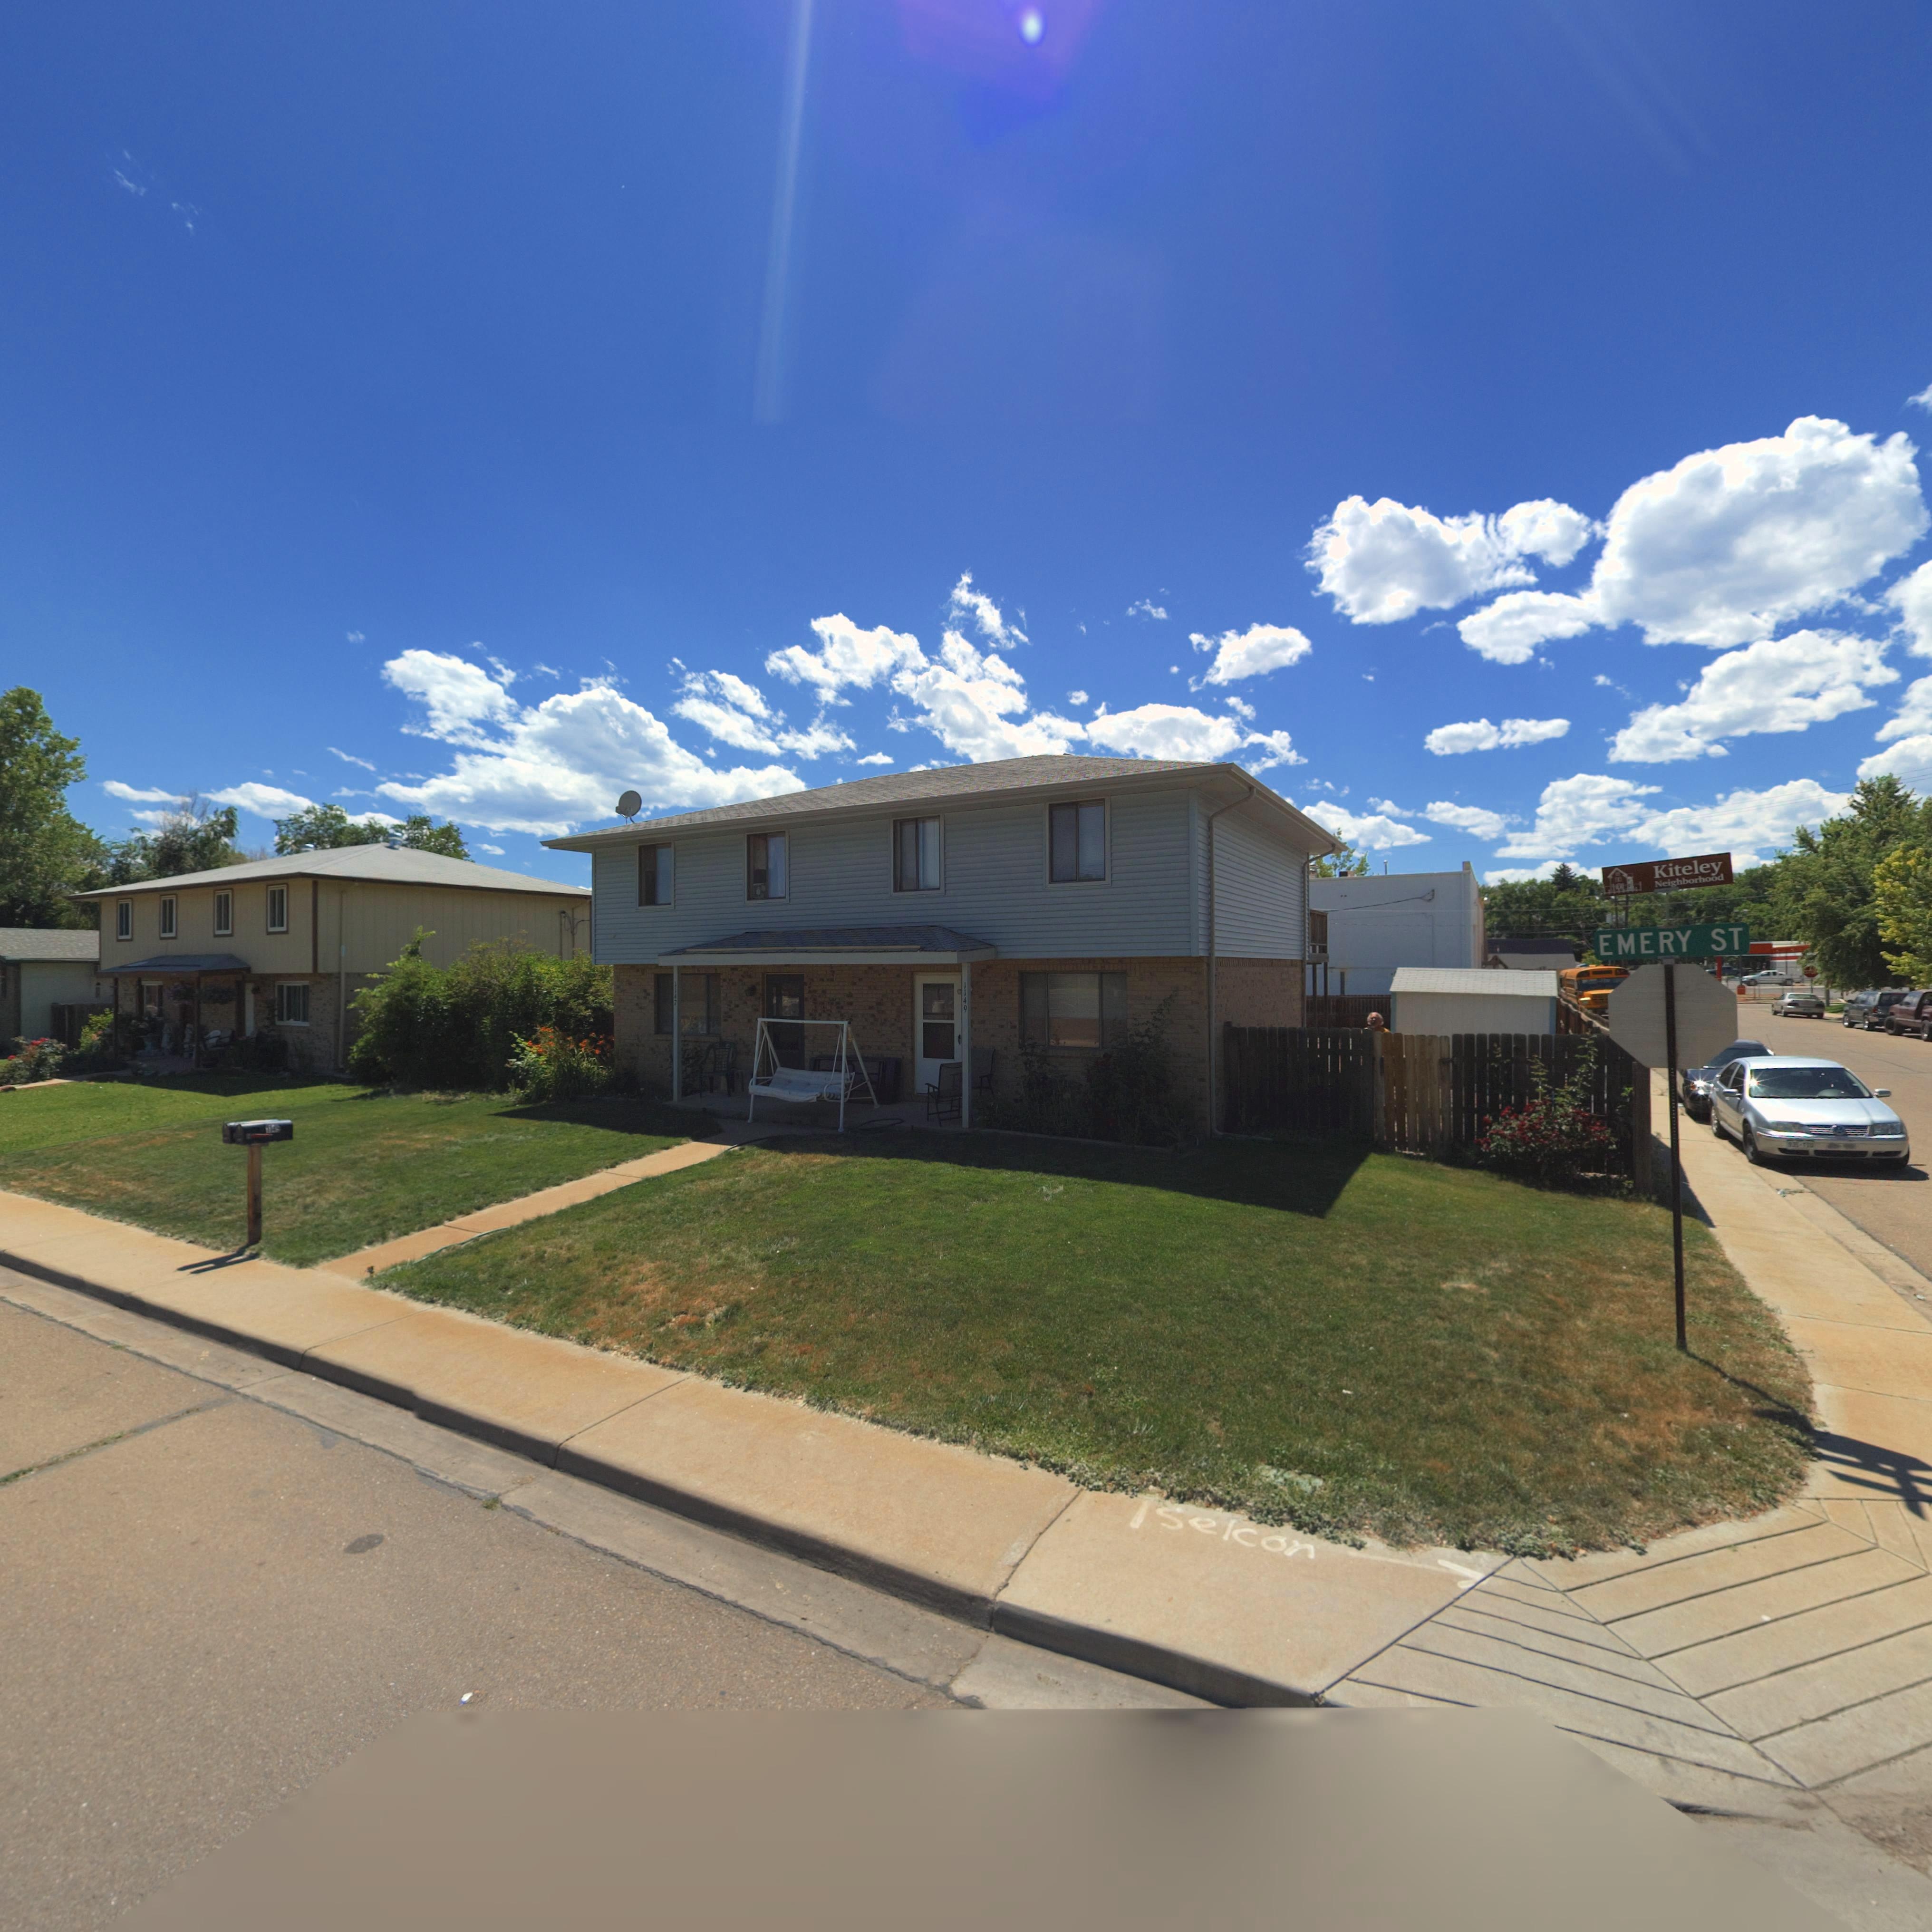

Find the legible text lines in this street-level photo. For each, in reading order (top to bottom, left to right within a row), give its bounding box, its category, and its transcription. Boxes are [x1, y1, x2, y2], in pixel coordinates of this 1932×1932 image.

[1598, 927, 1743, 956] StreetName: EMERY ST
[673, 980, 677, 1006] StreetNumber: 1147
[962, 982, 967, 1013] StreetNumber: 1149
[265, 1124, 280, 1133] StreetNumber: 1145